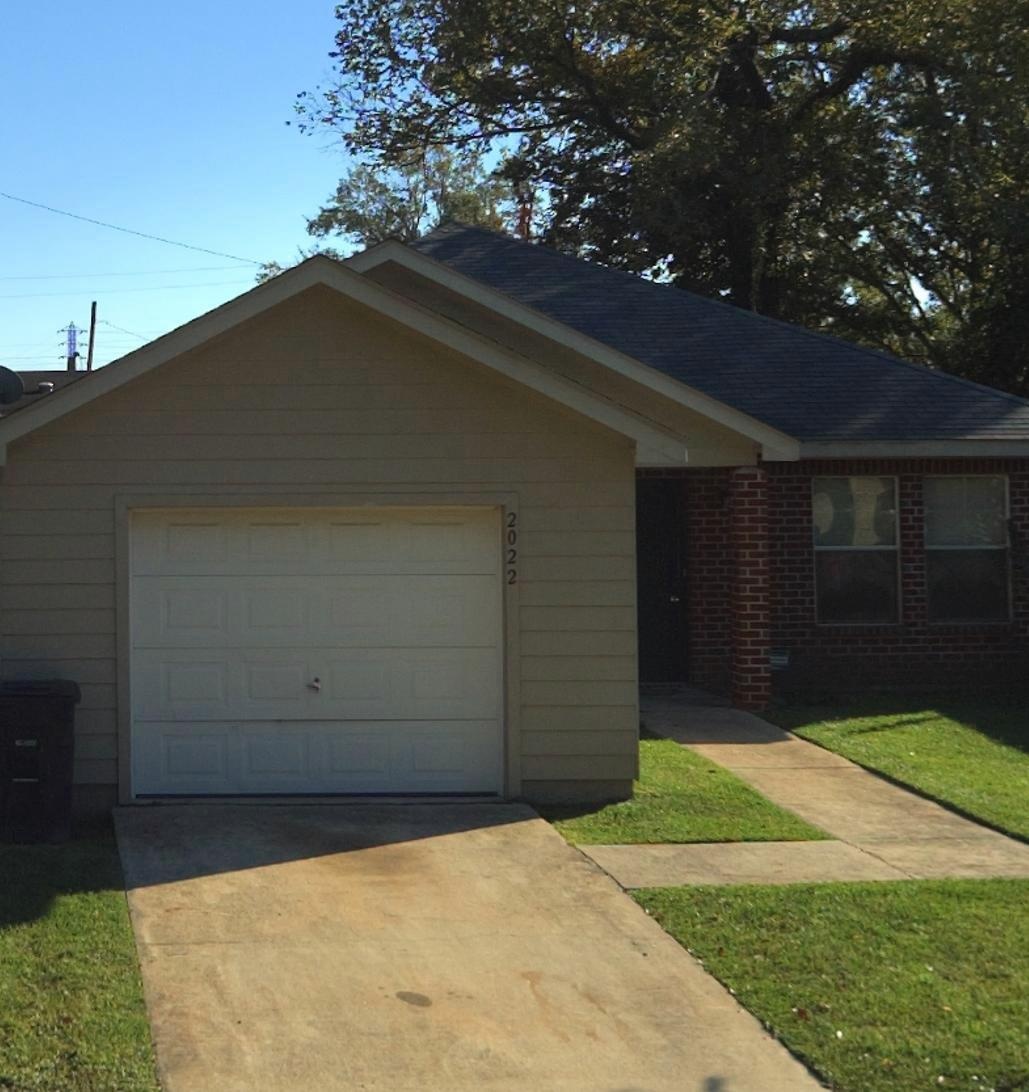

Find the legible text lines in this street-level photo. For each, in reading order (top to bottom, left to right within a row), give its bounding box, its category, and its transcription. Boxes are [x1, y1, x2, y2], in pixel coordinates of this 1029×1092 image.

[505, 509, 518, 587] StreetNumber: 2022